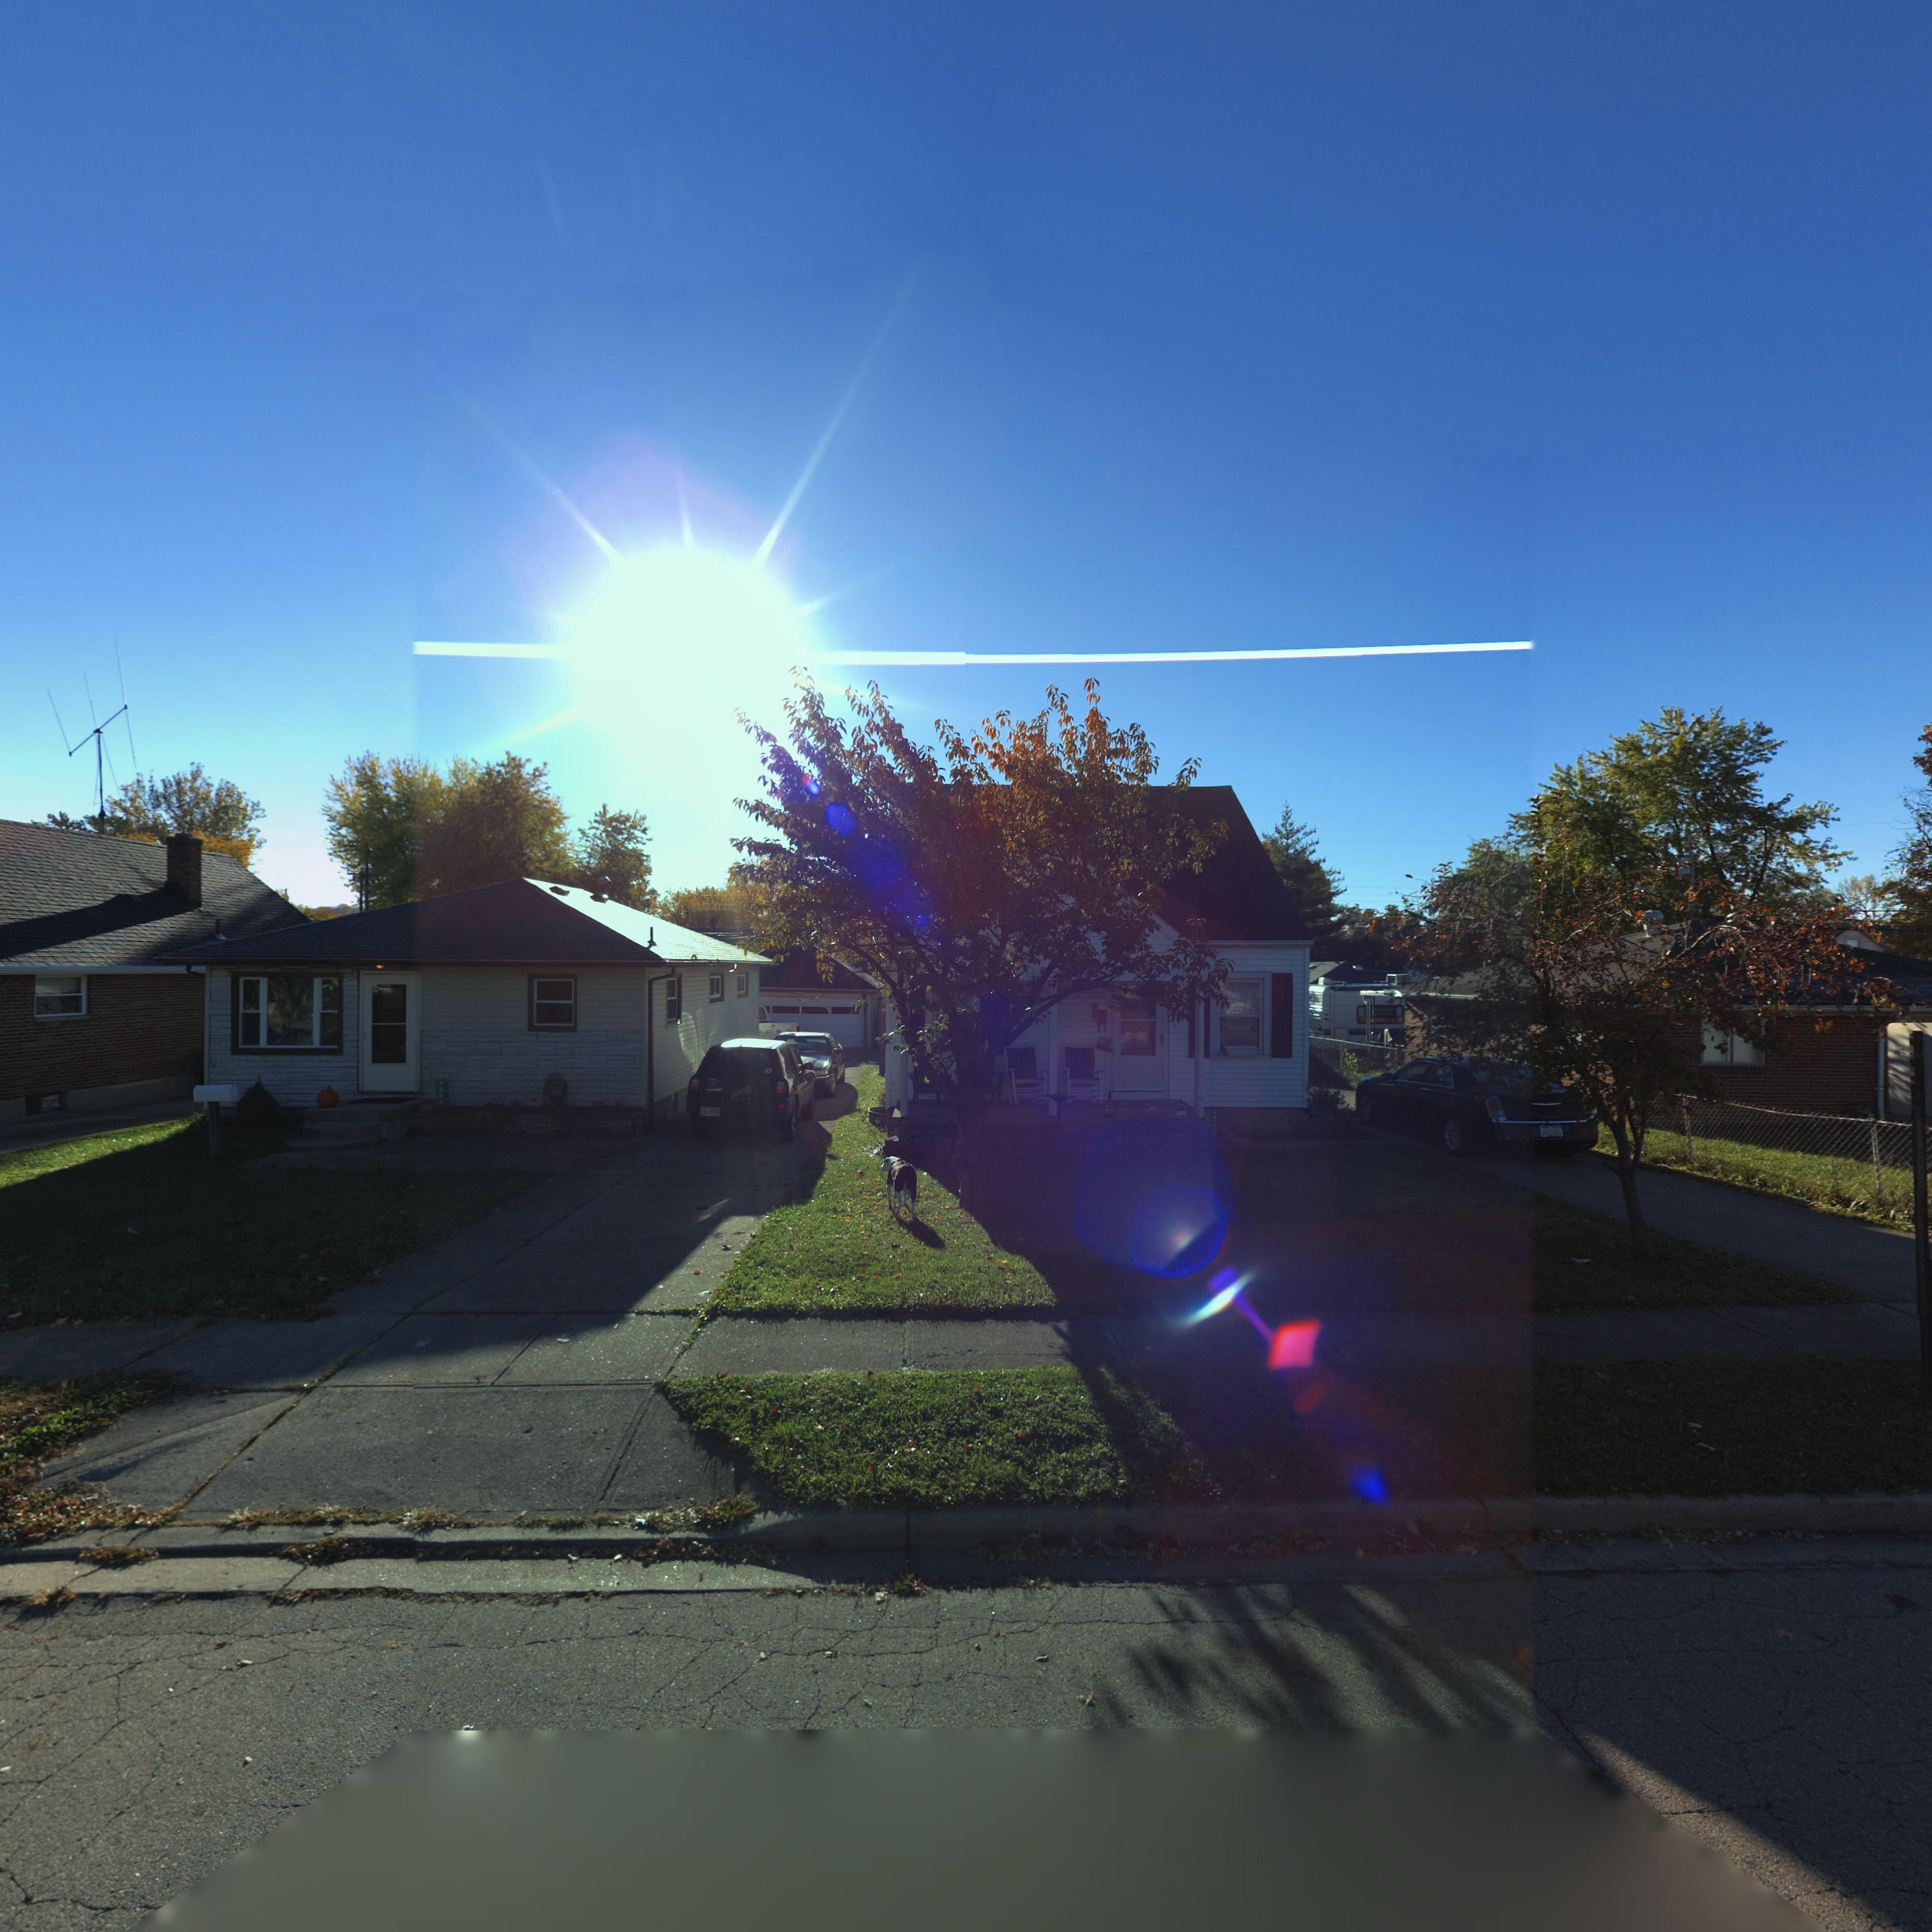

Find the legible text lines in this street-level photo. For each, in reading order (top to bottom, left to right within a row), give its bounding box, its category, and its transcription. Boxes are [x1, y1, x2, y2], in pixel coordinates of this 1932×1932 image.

[438, 1080, 444, 1105] StreetNumber: 4552
[1212, 1108, 1218, 1137] StreetNumber: 4552